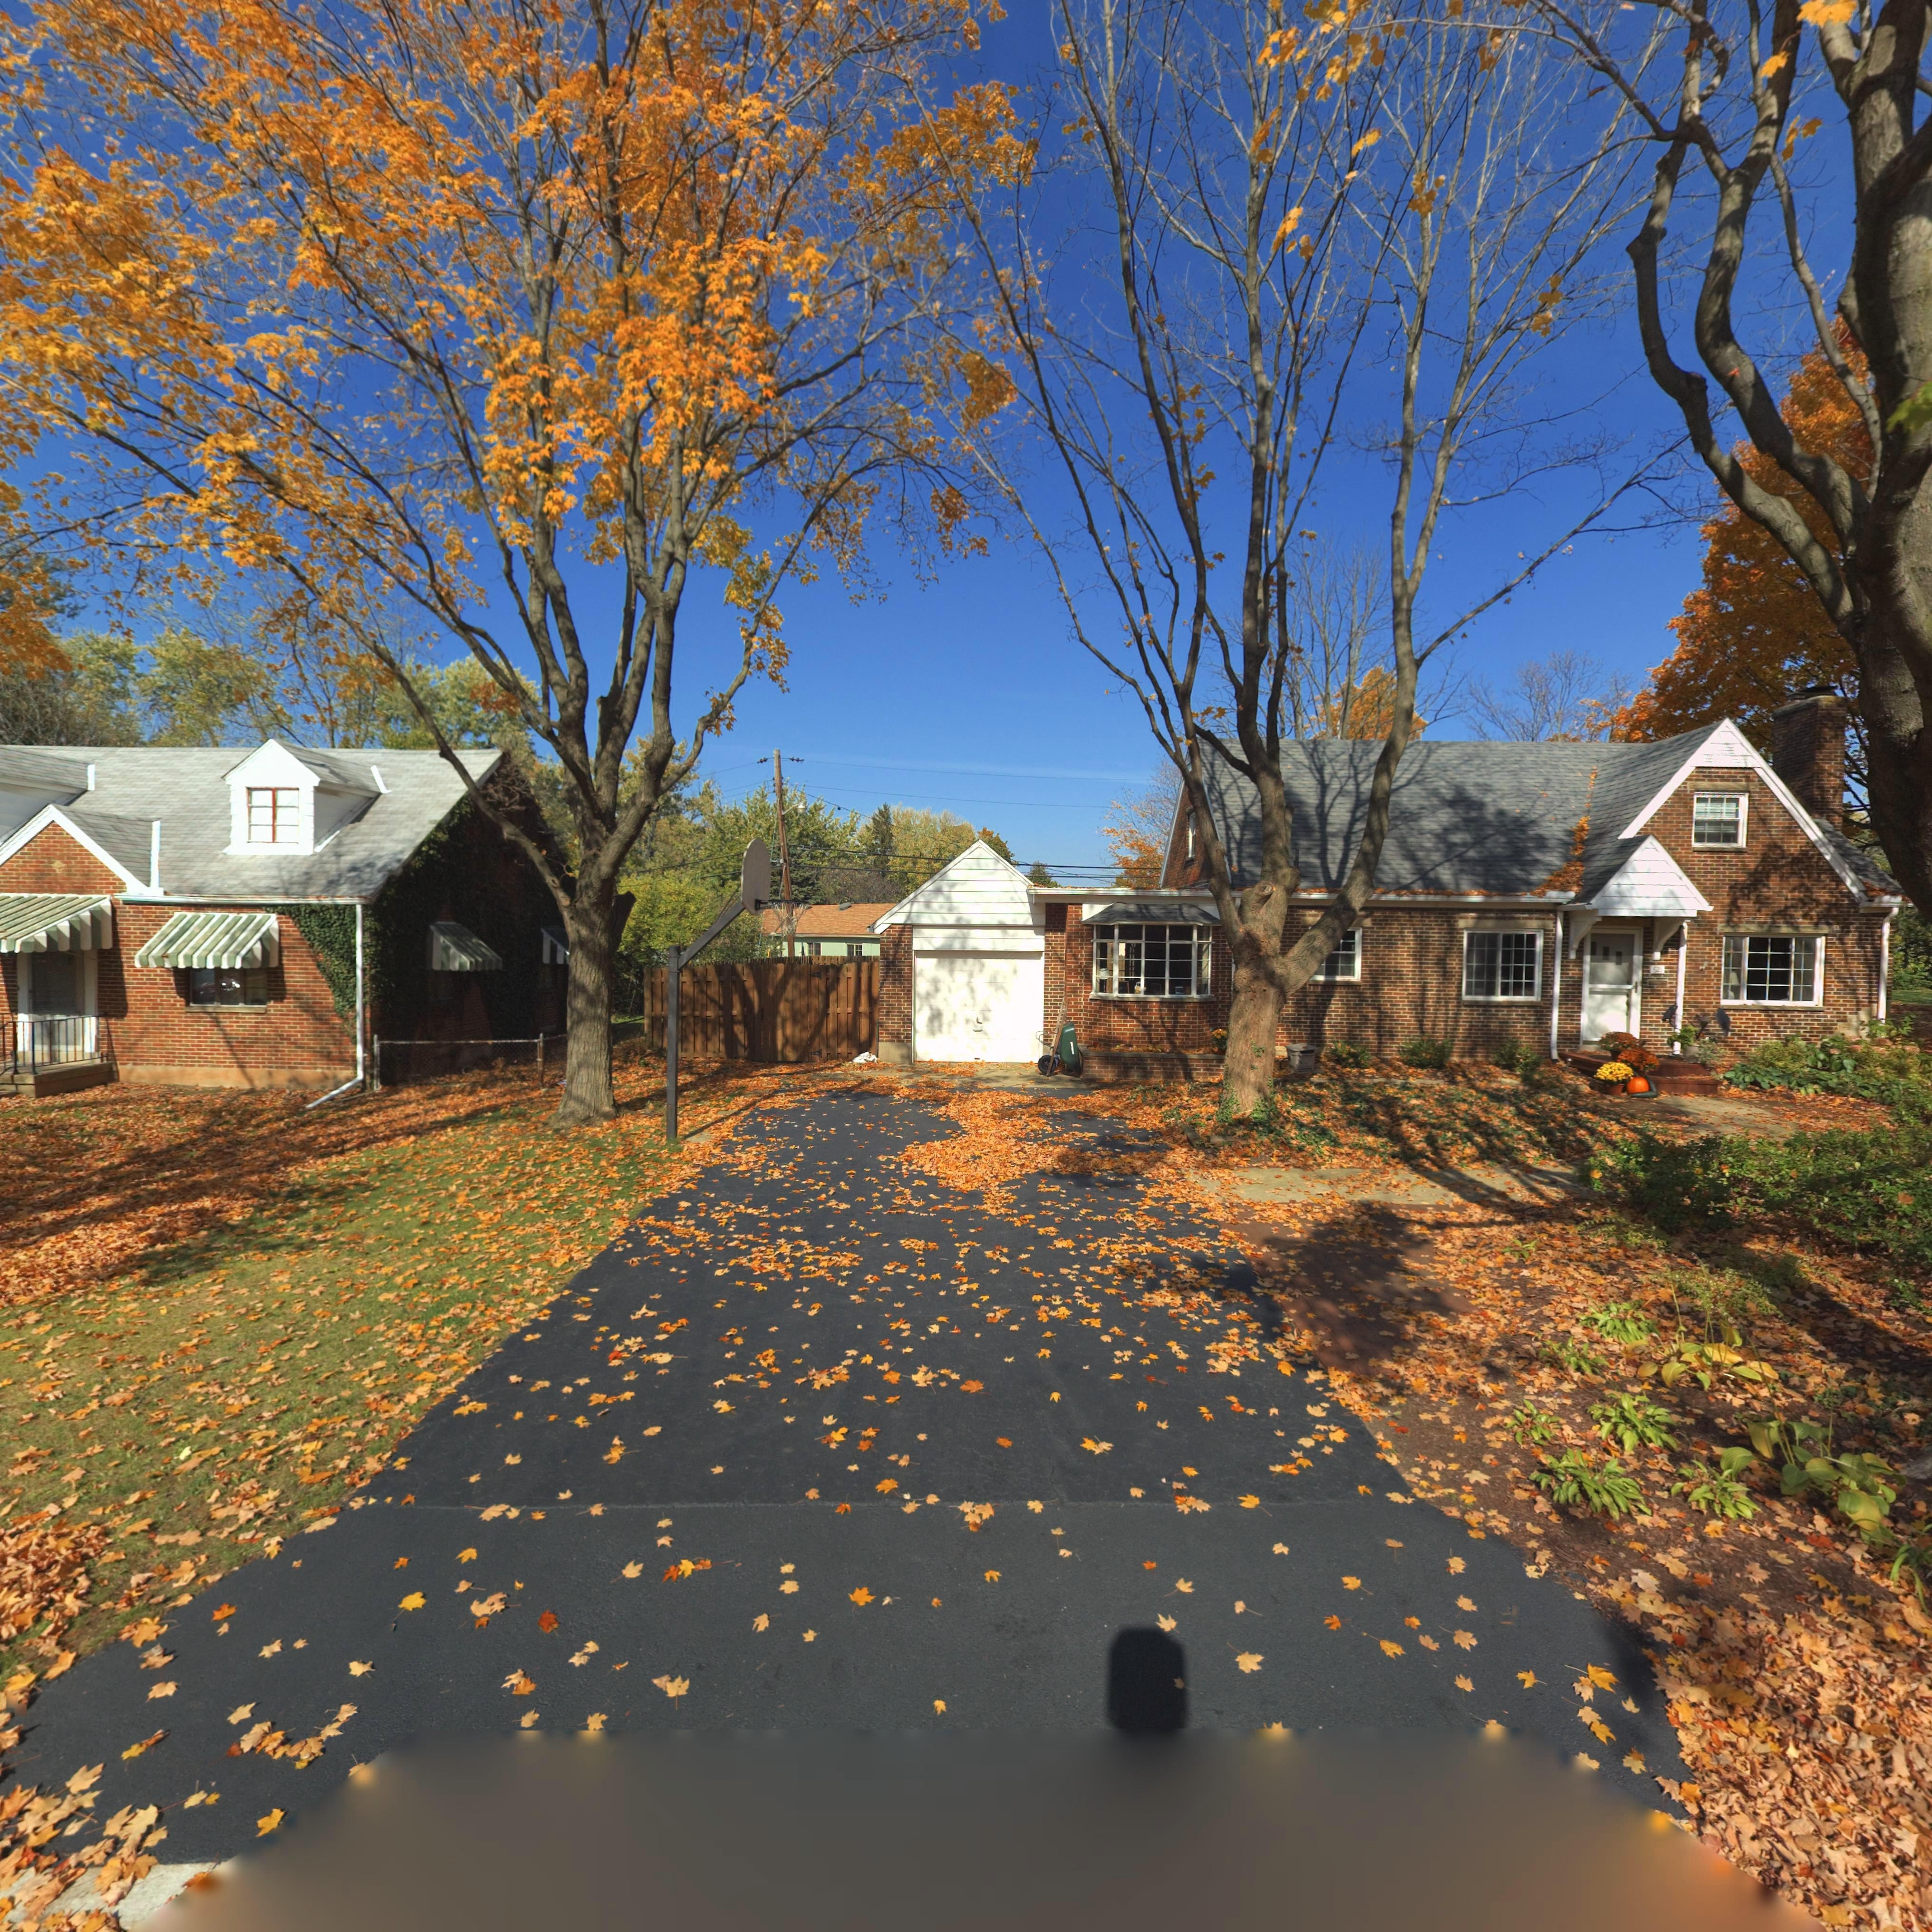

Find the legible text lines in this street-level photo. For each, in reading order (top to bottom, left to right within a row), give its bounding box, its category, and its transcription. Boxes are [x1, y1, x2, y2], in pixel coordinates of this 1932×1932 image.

[1652, 966, 1663, 973] StreetNumber: 621